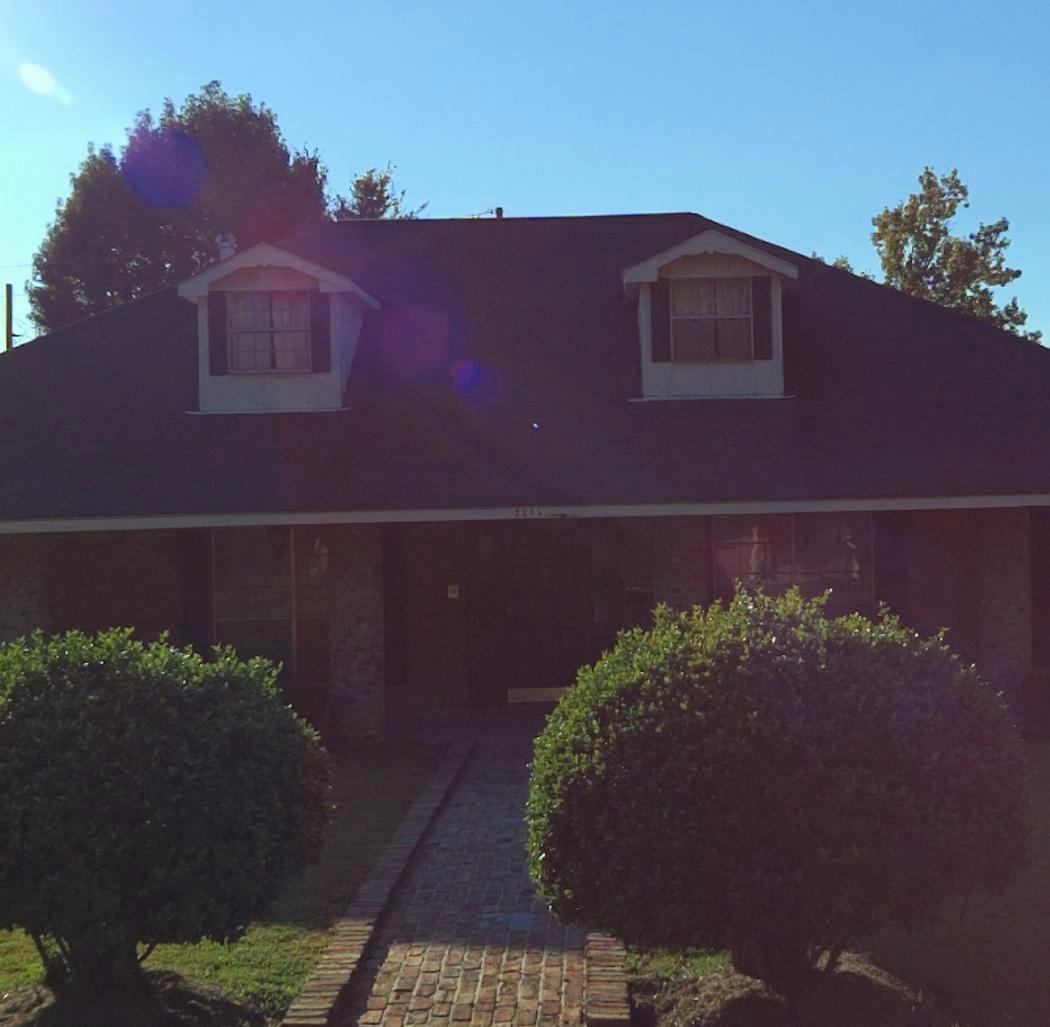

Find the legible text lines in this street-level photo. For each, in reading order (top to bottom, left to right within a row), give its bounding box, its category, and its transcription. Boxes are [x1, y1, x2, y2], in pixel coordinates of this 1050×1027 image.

[512, 506, 543, 517] StreetNumber: 2285